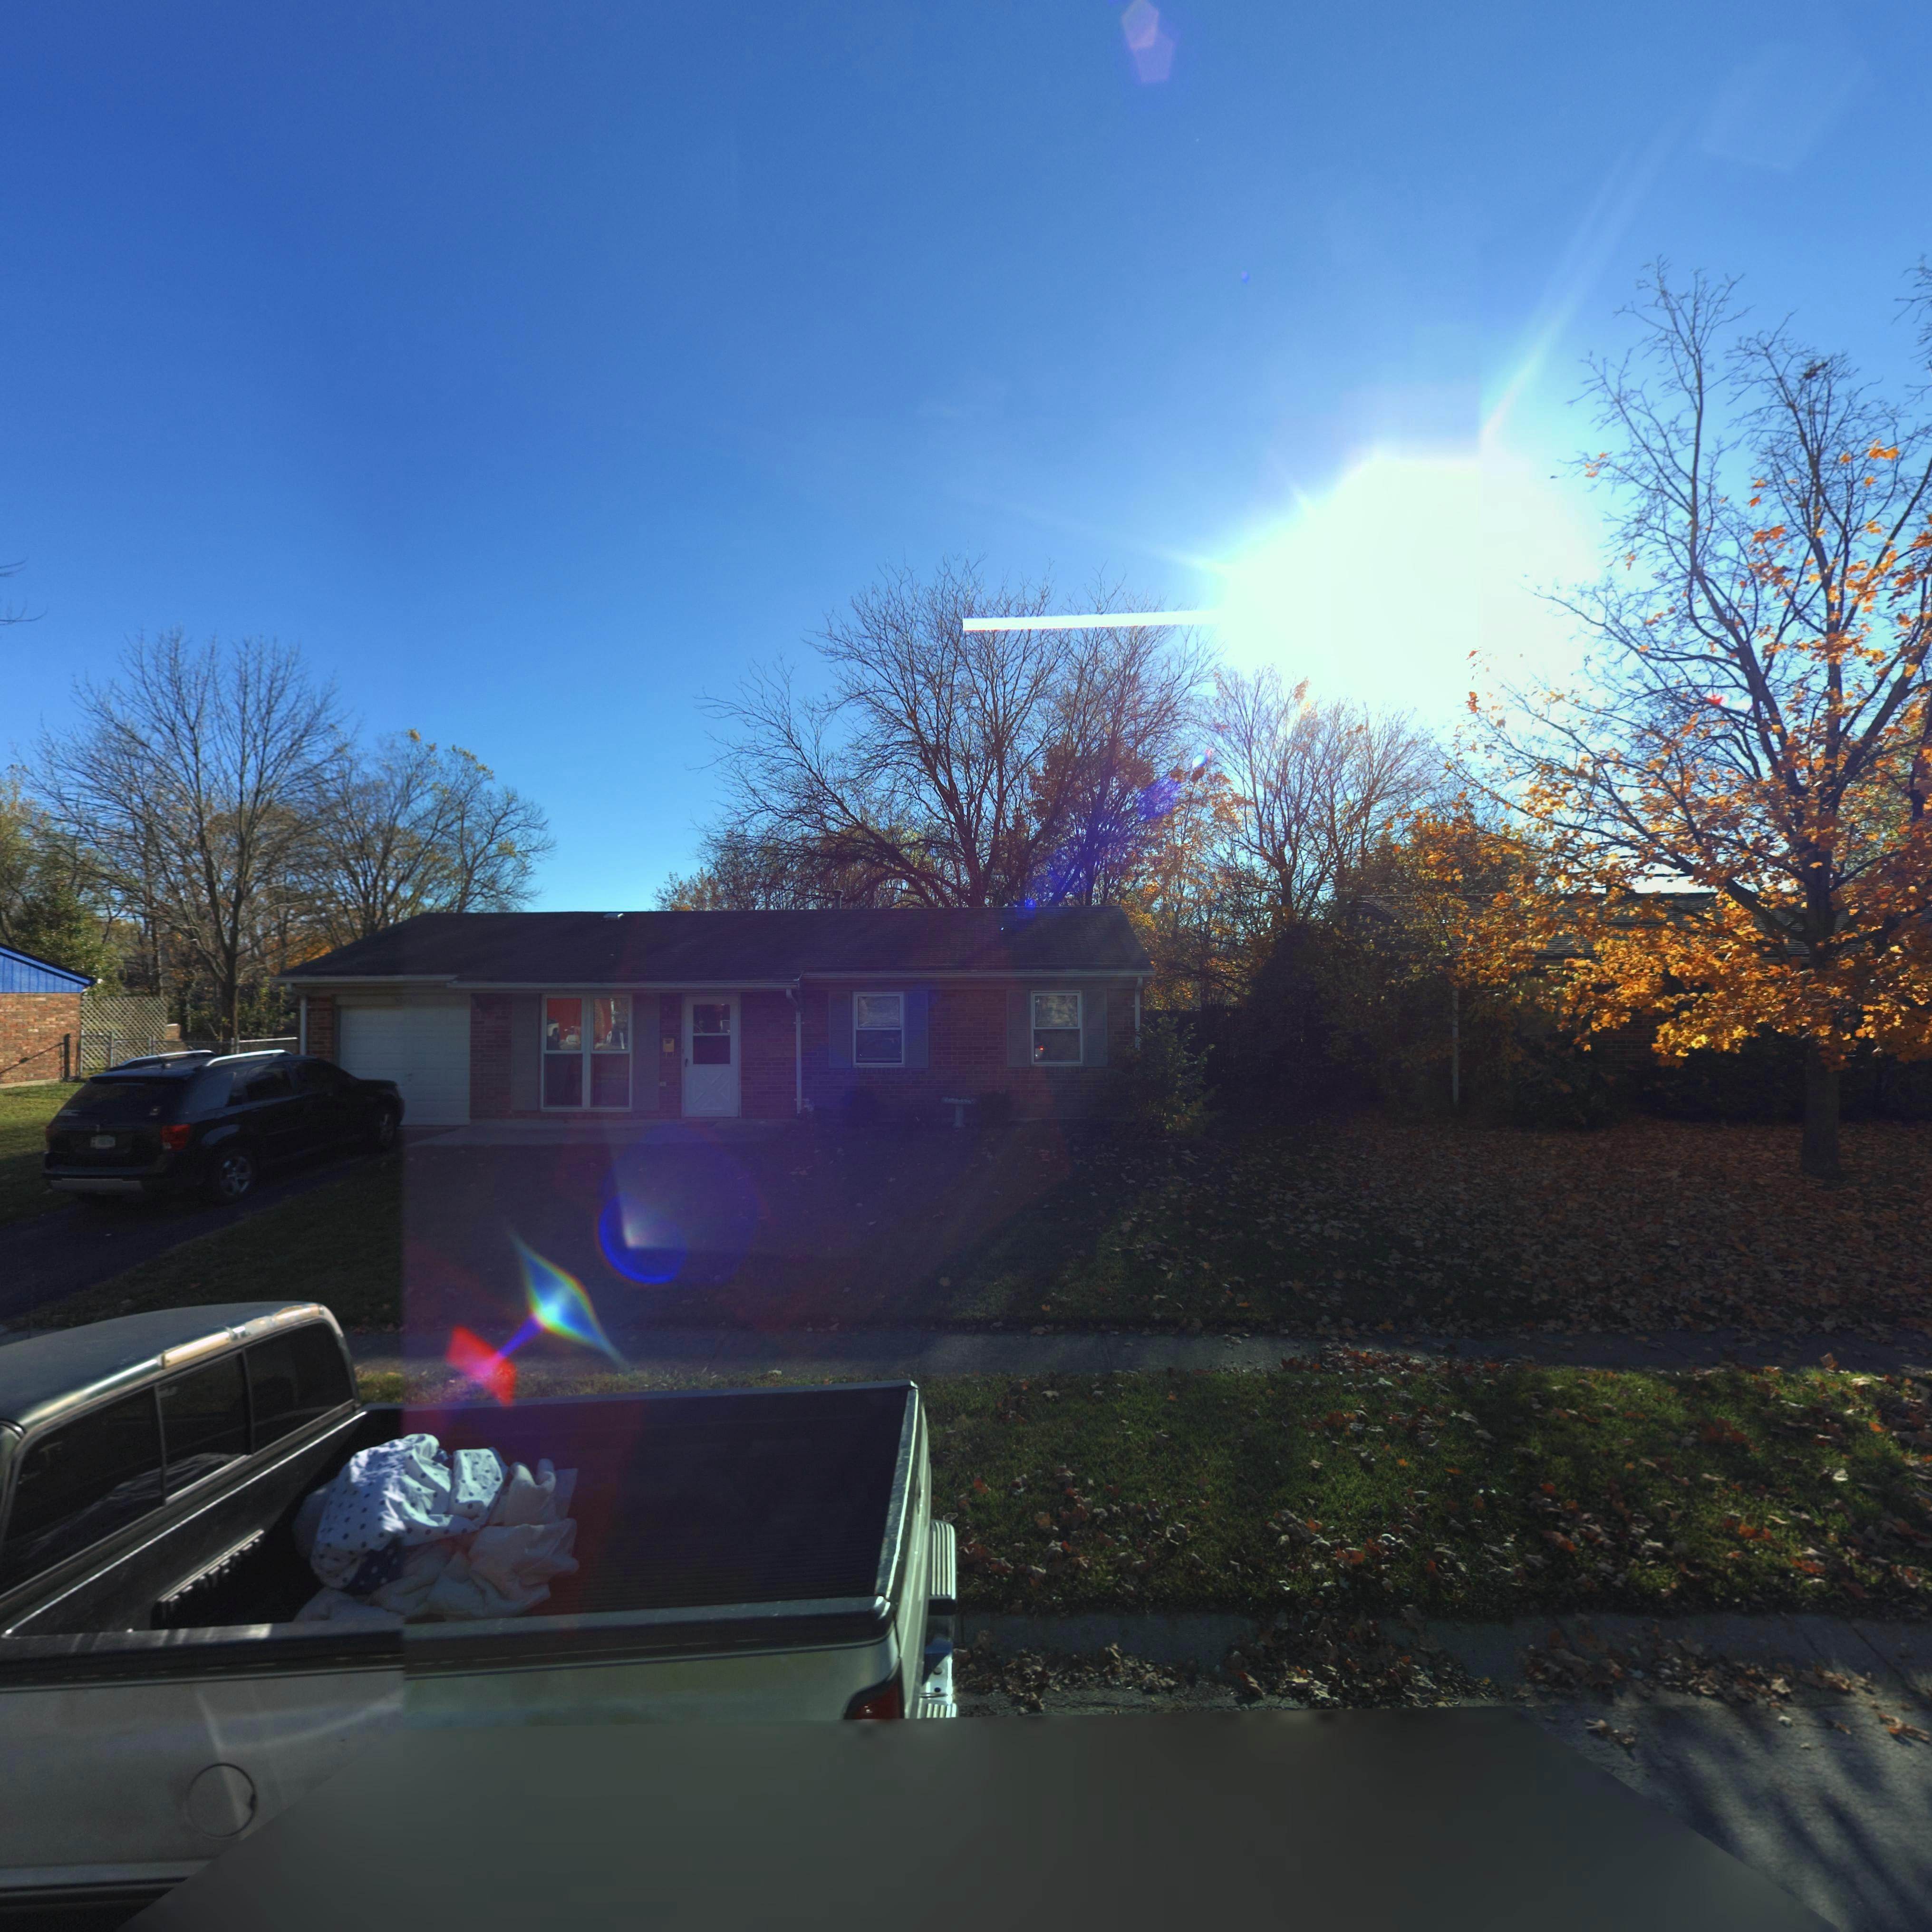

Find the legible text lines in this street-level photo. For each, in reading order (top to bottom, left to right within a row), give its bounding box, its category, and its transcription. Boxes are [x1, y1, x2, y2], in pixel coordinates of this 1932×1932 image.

[394, 996, 413, 1005] StreetNumber: 50**